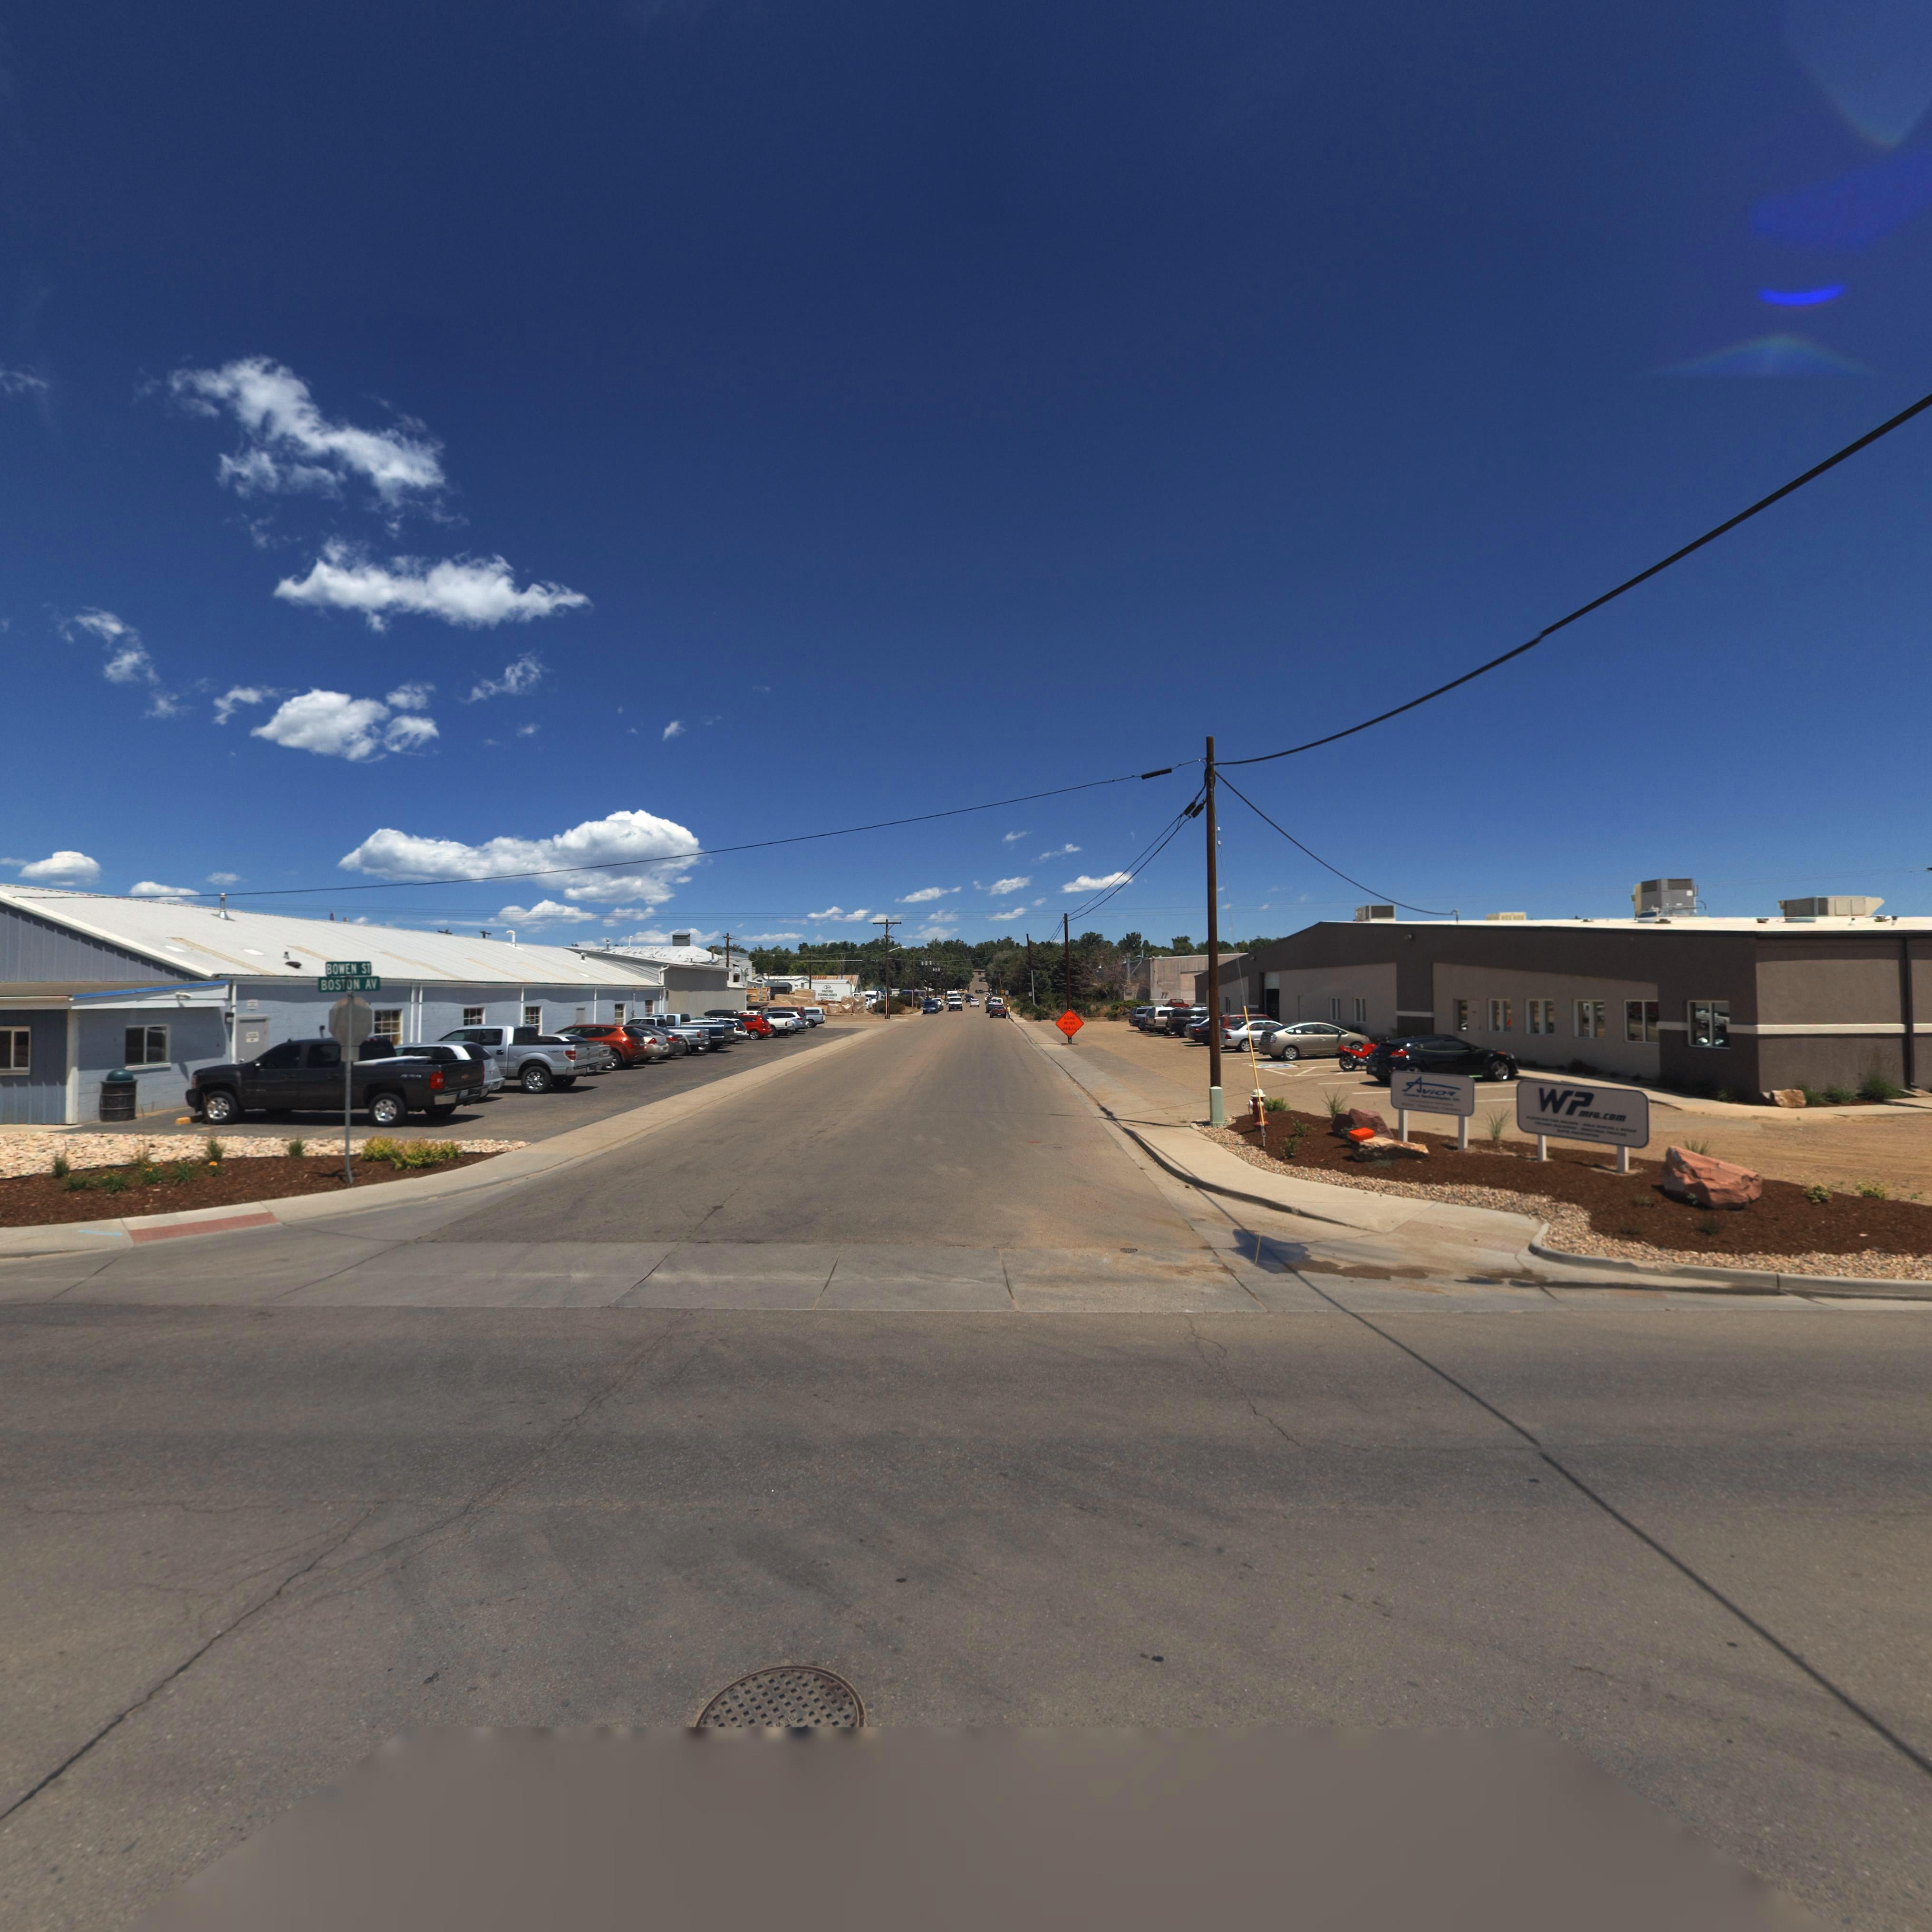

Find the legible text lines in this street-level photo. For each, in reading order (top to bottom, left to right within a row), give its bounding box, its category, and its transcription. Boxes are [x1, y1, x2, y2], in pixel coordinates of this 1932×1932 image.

[326, 963, 371, 975] StreetName: BOWEN ST
[320, 978, 377, 990] StreetName: BOSTON AV
[1400, 1075, 1458, 1098] BusinessName: Avio*
[1537, 1086, 1594, 1116] BusinessName: WP